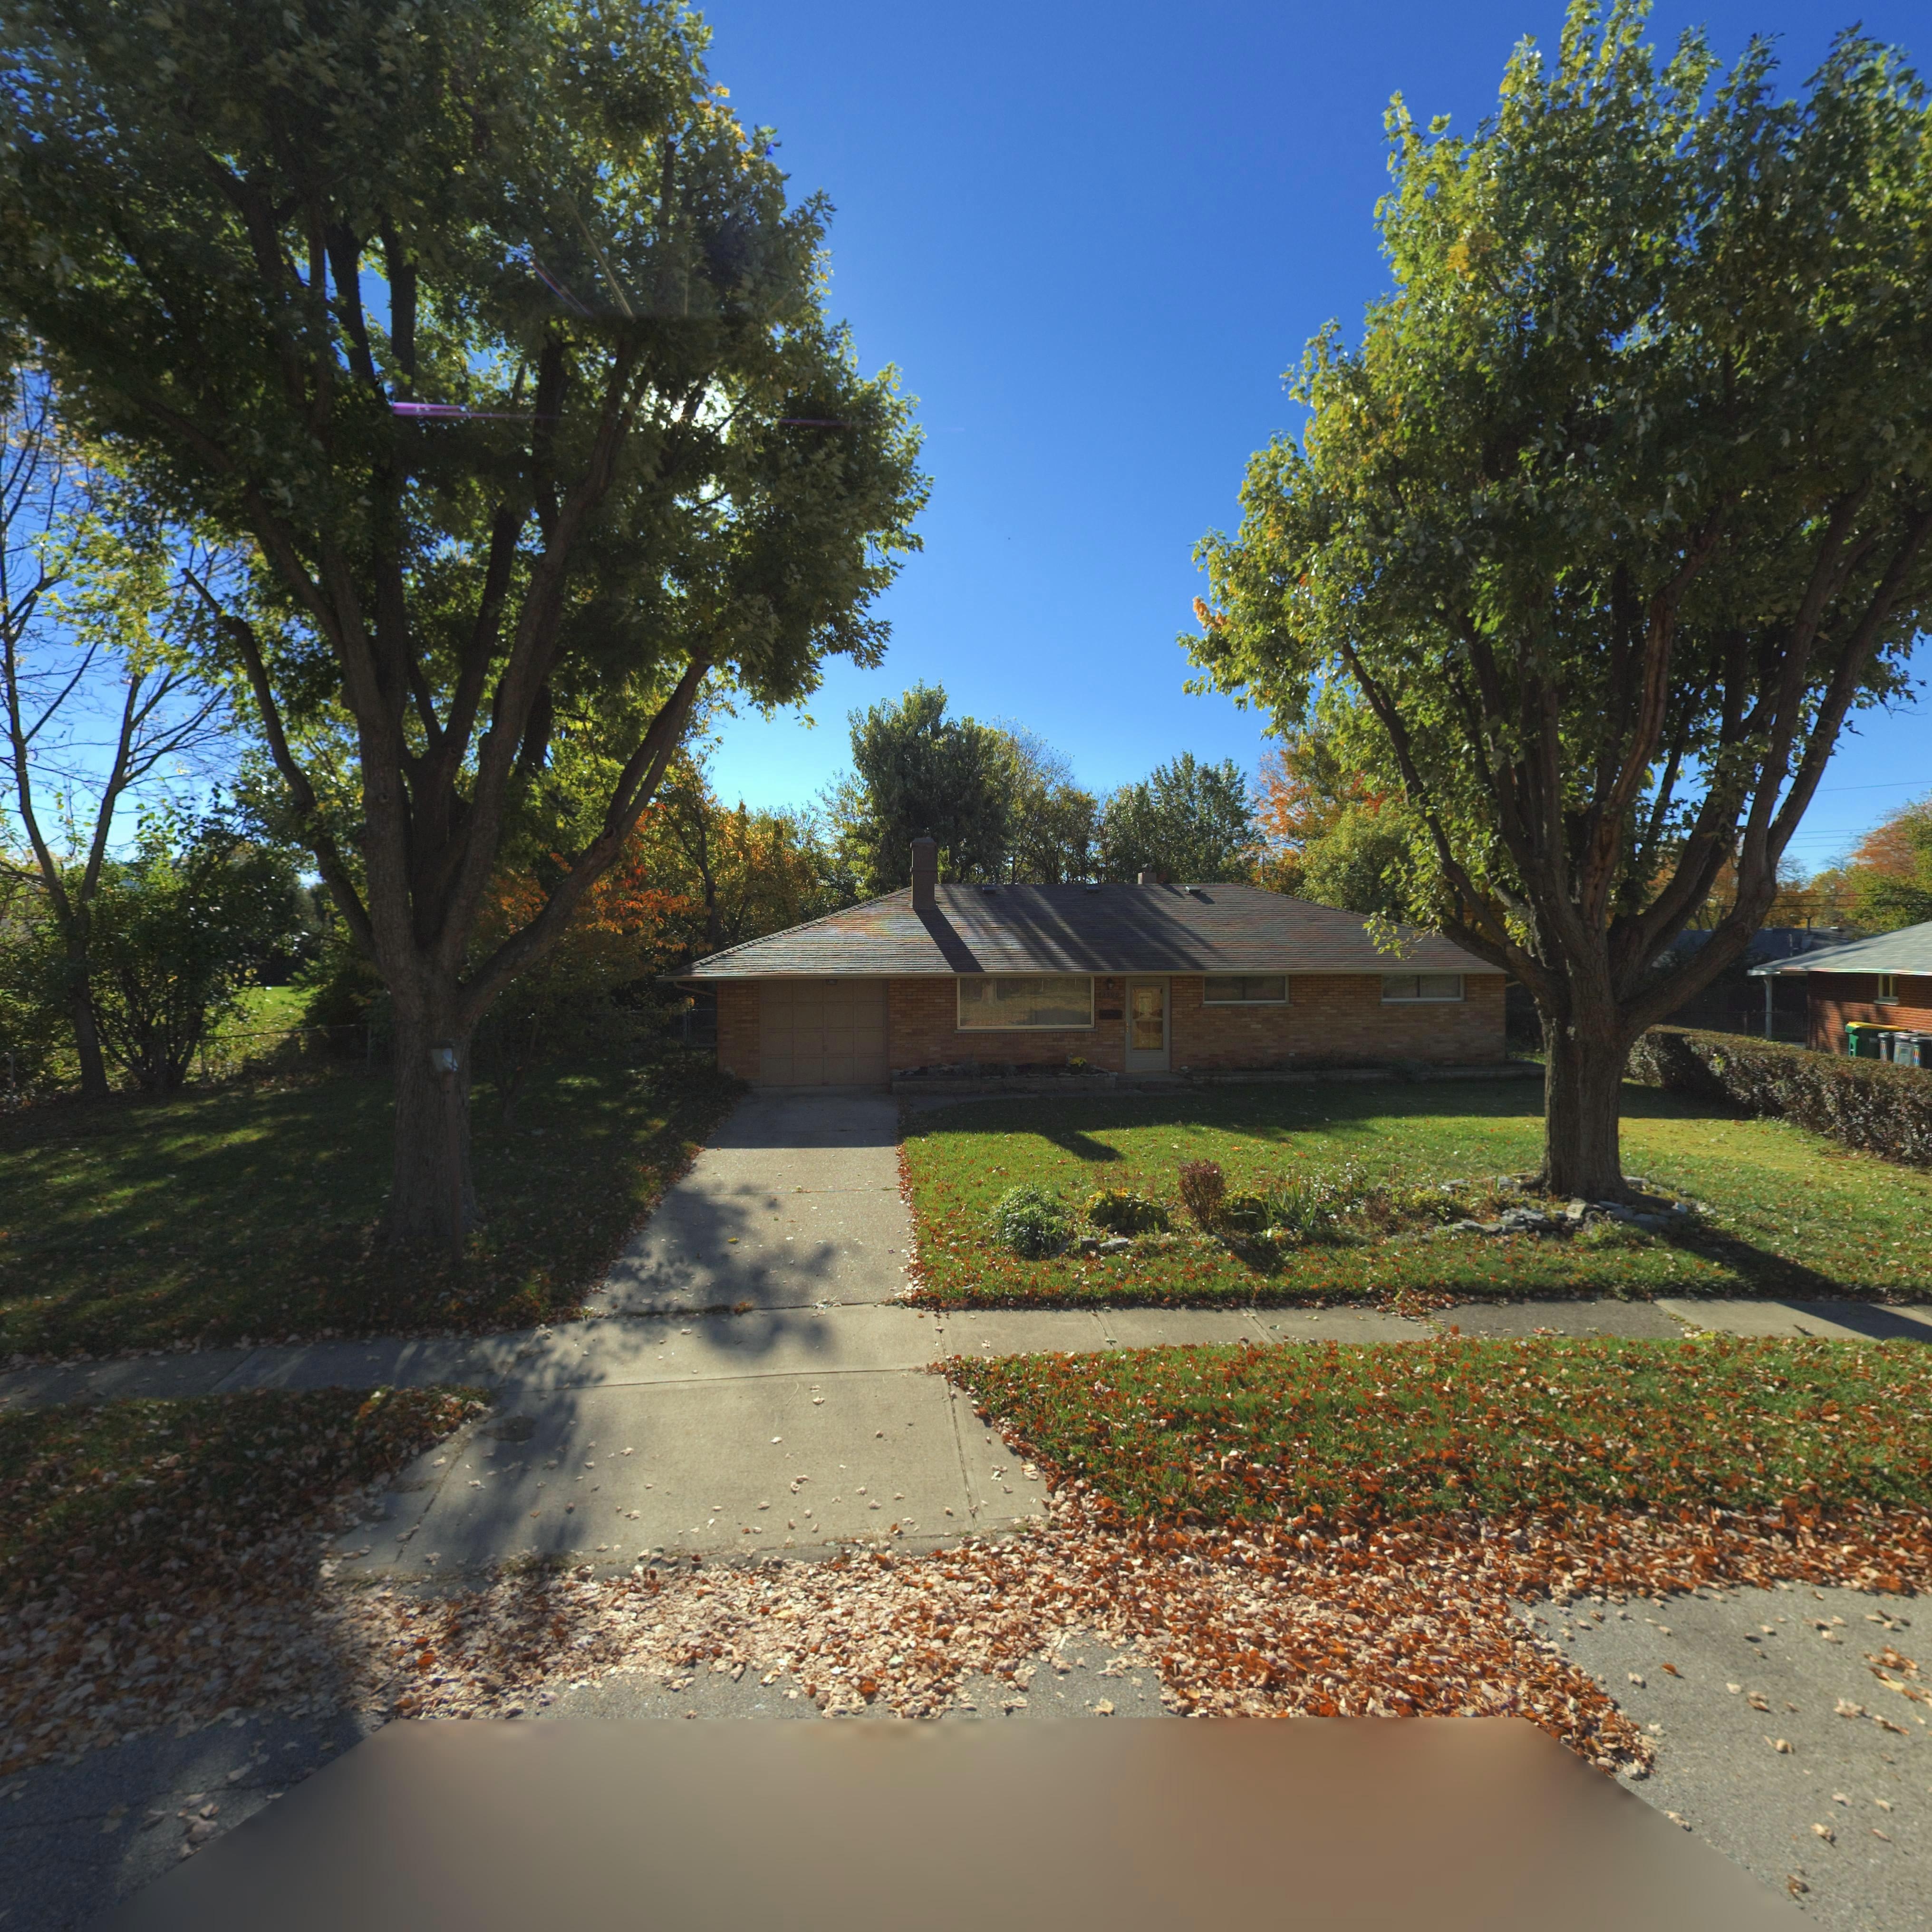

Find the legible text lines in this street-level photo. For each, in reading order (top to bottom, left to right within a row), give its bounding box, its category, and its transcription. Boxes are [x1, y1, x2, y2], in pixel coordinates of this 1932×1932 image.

[1101, 991, 1120, 998] StreetNumber: *590